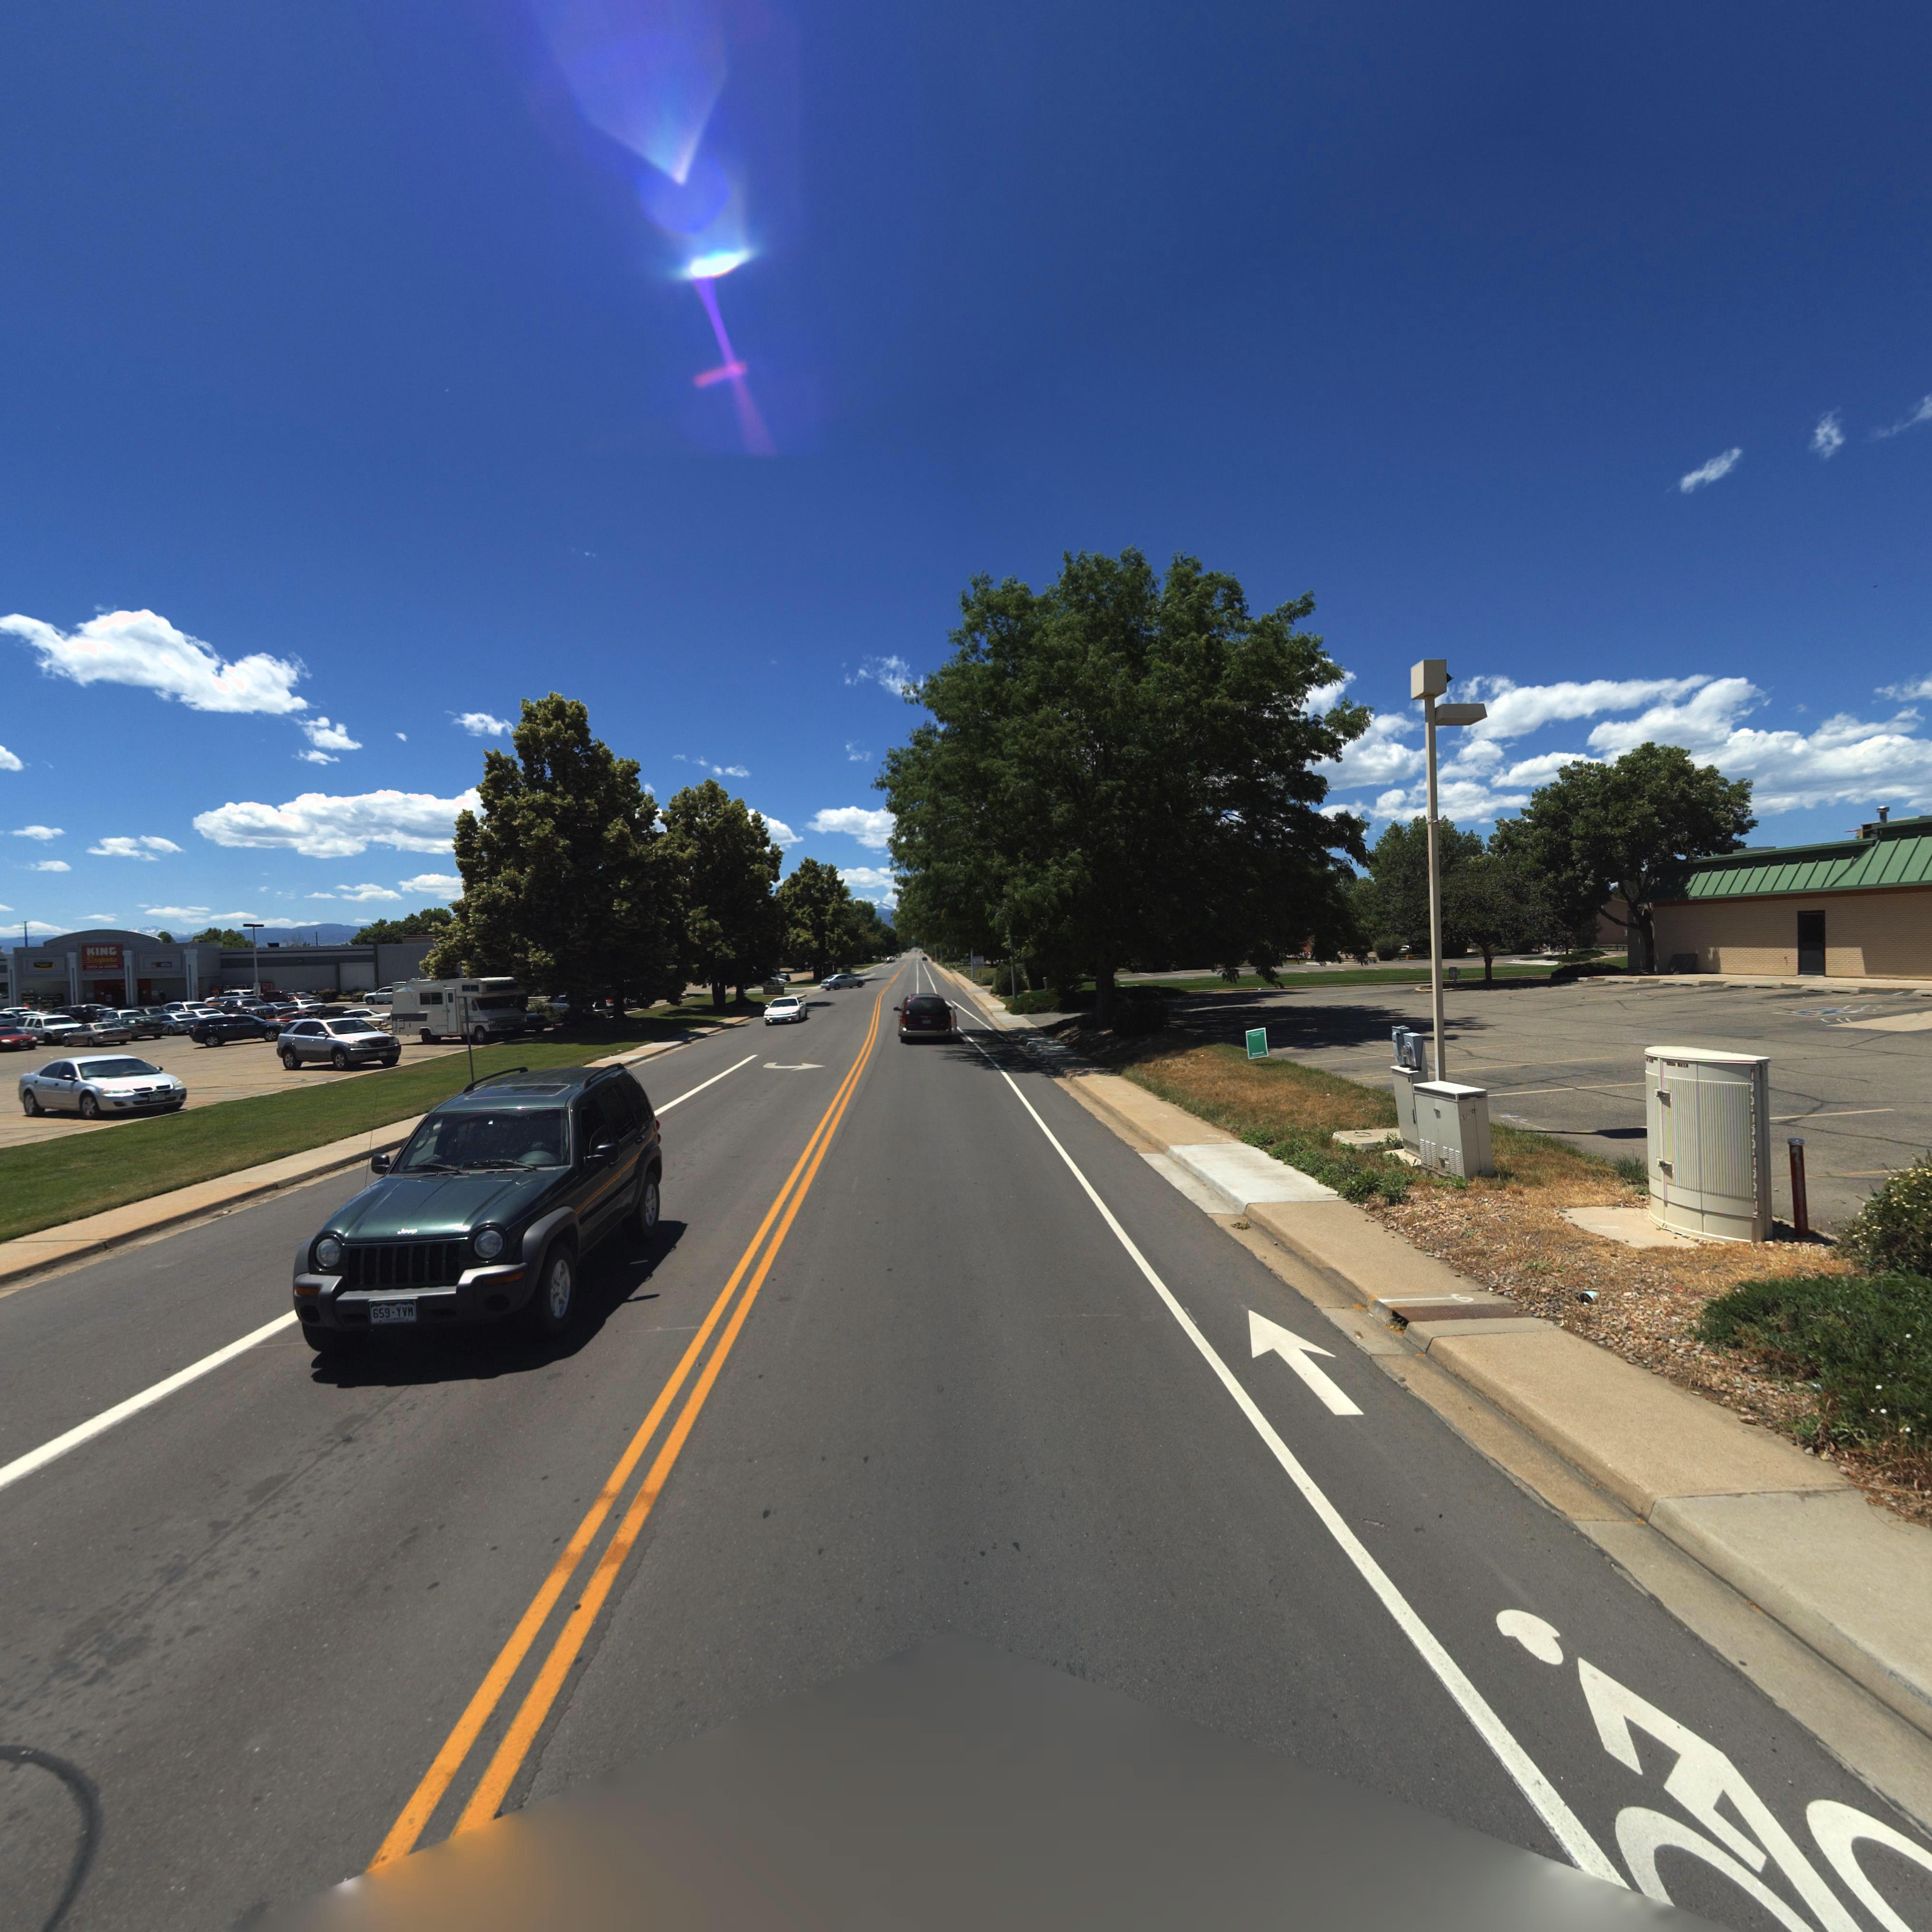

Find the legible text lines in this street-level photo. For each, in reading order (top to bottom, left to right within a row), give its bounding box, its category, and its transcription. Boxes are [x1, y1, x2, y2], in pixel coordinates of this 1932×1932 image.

[86, 947, 116, 956] BusinessName: KING
[86, 955, 118, 965] BusinessName: Soop**s